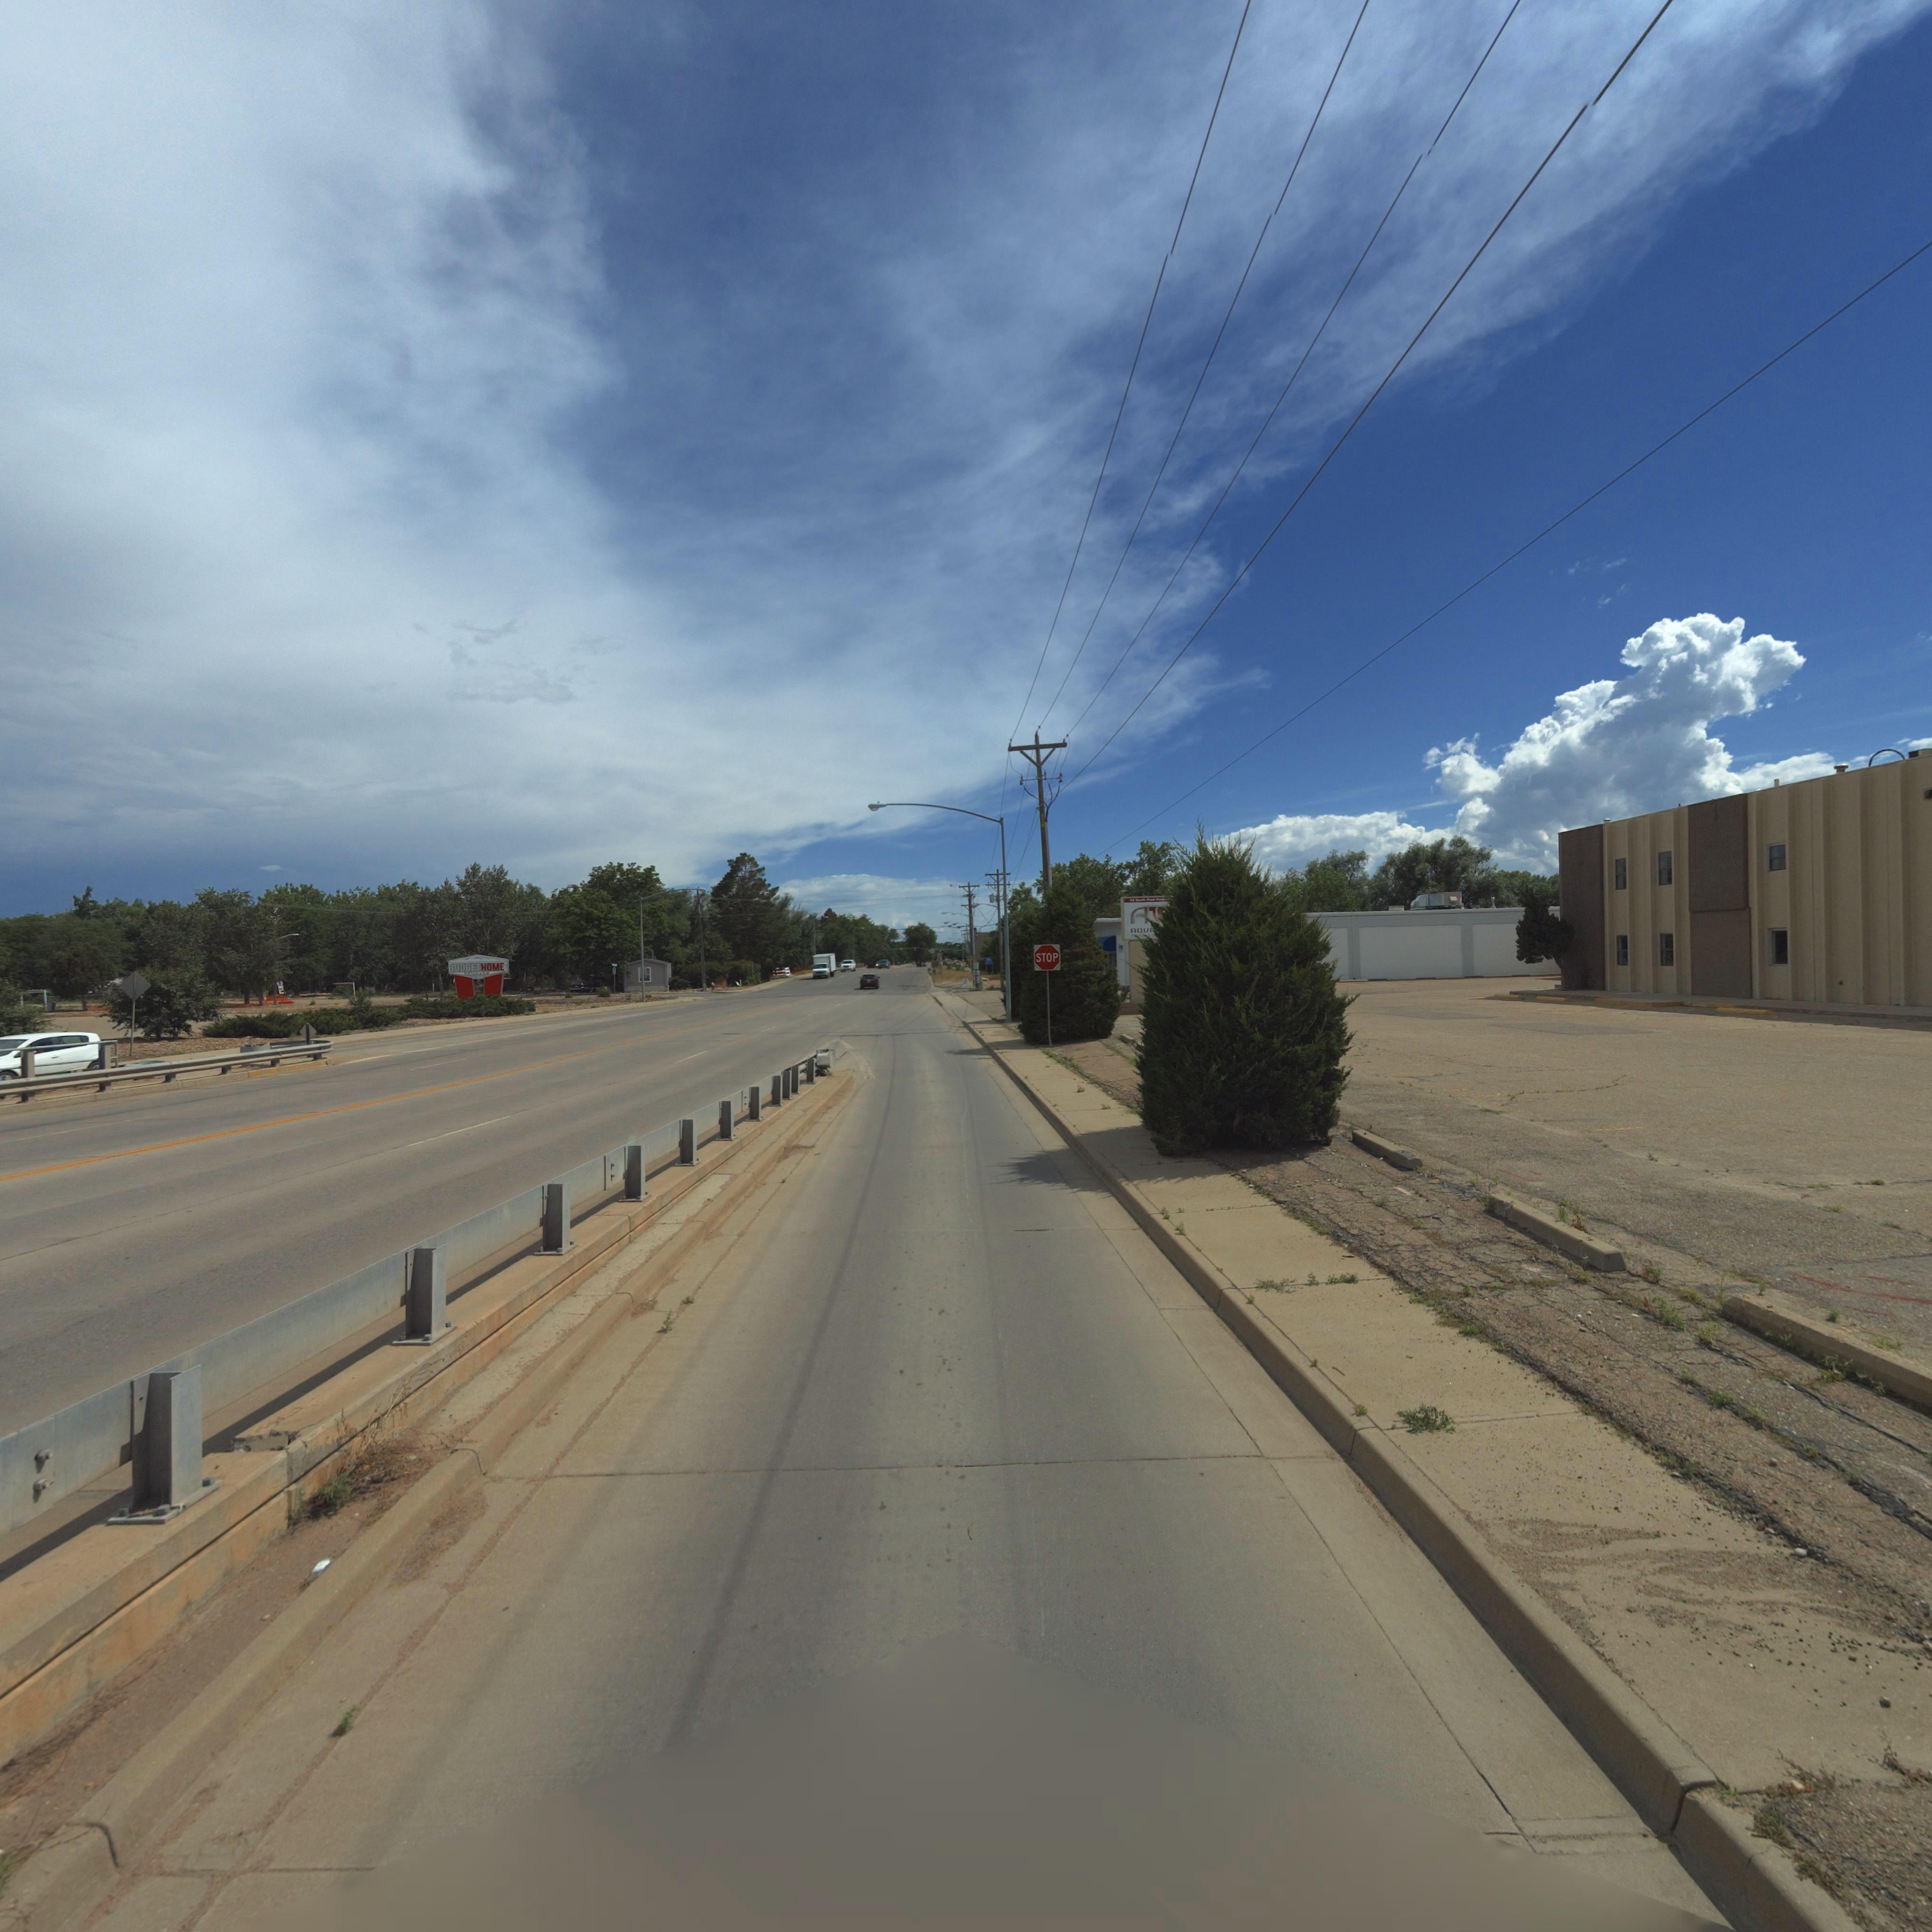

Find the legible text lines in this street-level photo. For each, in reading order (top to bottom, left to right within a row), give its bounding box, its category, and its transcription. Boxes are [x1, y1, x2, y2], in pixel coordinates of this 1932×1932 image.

[1129, 898, 1135, 902] StreetNumber: 33
[1135, 898, 1165, 902] StreetName: S**th P**** P**k
[1128, 905, 1149, 925] BusinessName: A
[448, 962, 505, 972] BusinessName: BUDGET HOME
[465, 971, 488, 975] BusinessName: SUPPLY